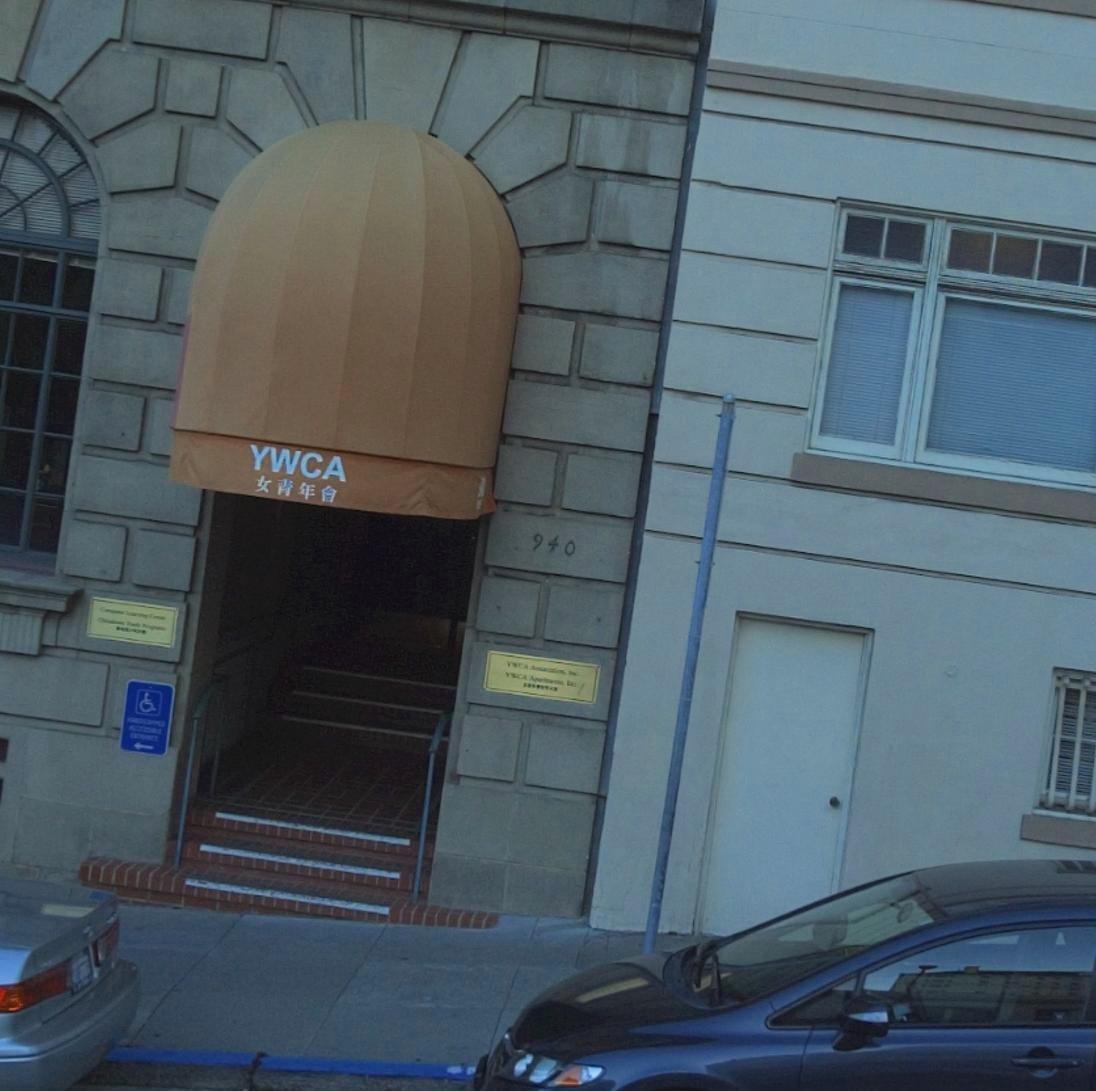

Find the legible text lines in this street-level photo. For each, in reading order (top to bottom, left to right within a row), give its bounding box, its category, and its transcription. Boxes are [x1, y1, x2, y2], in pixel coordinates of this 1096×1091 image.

[249, 442, 350, 486] BusinessName: YWCA
[526, 529, 578, 561] StreetNumber: 940
[504, 670, 529, 682] BusinessName: YWCA
[505, 659, 529, 671] BusinessName: YWCA